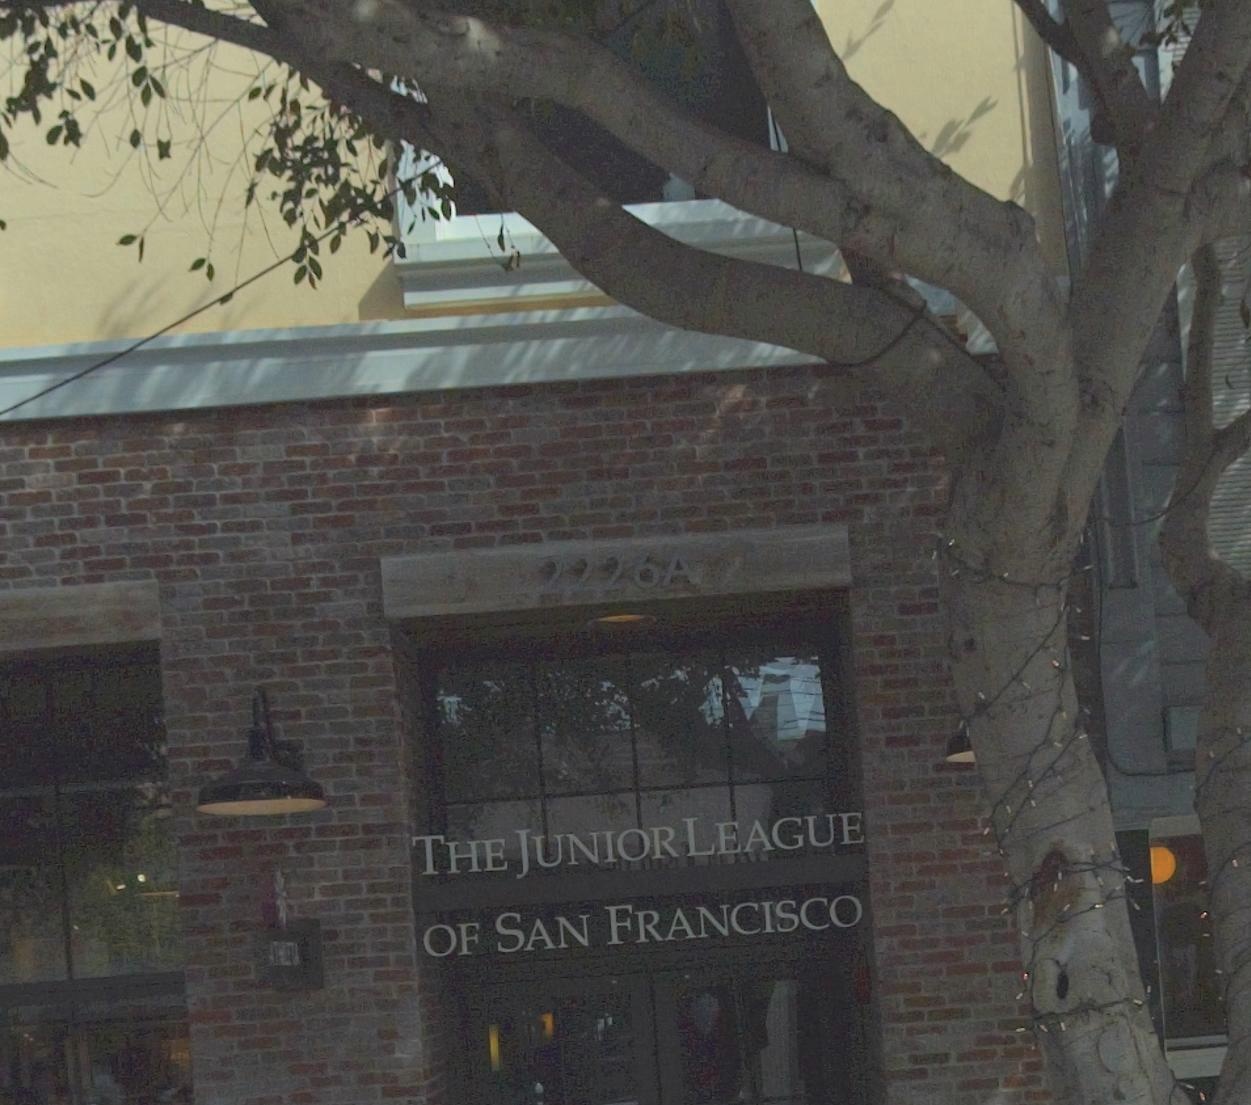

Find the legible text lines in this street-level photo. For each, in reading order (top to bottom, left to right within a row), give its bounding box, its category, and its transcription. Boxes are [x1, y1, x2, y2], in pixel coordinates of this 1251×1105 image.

[534, 547, 703, 601] StreetNumber: 2226 A
[409, 809, 869, 881] BusinessName: THE JUNIORLEAGUE
[421, 893, 865, 962] None: OF SAN FRANCISCO